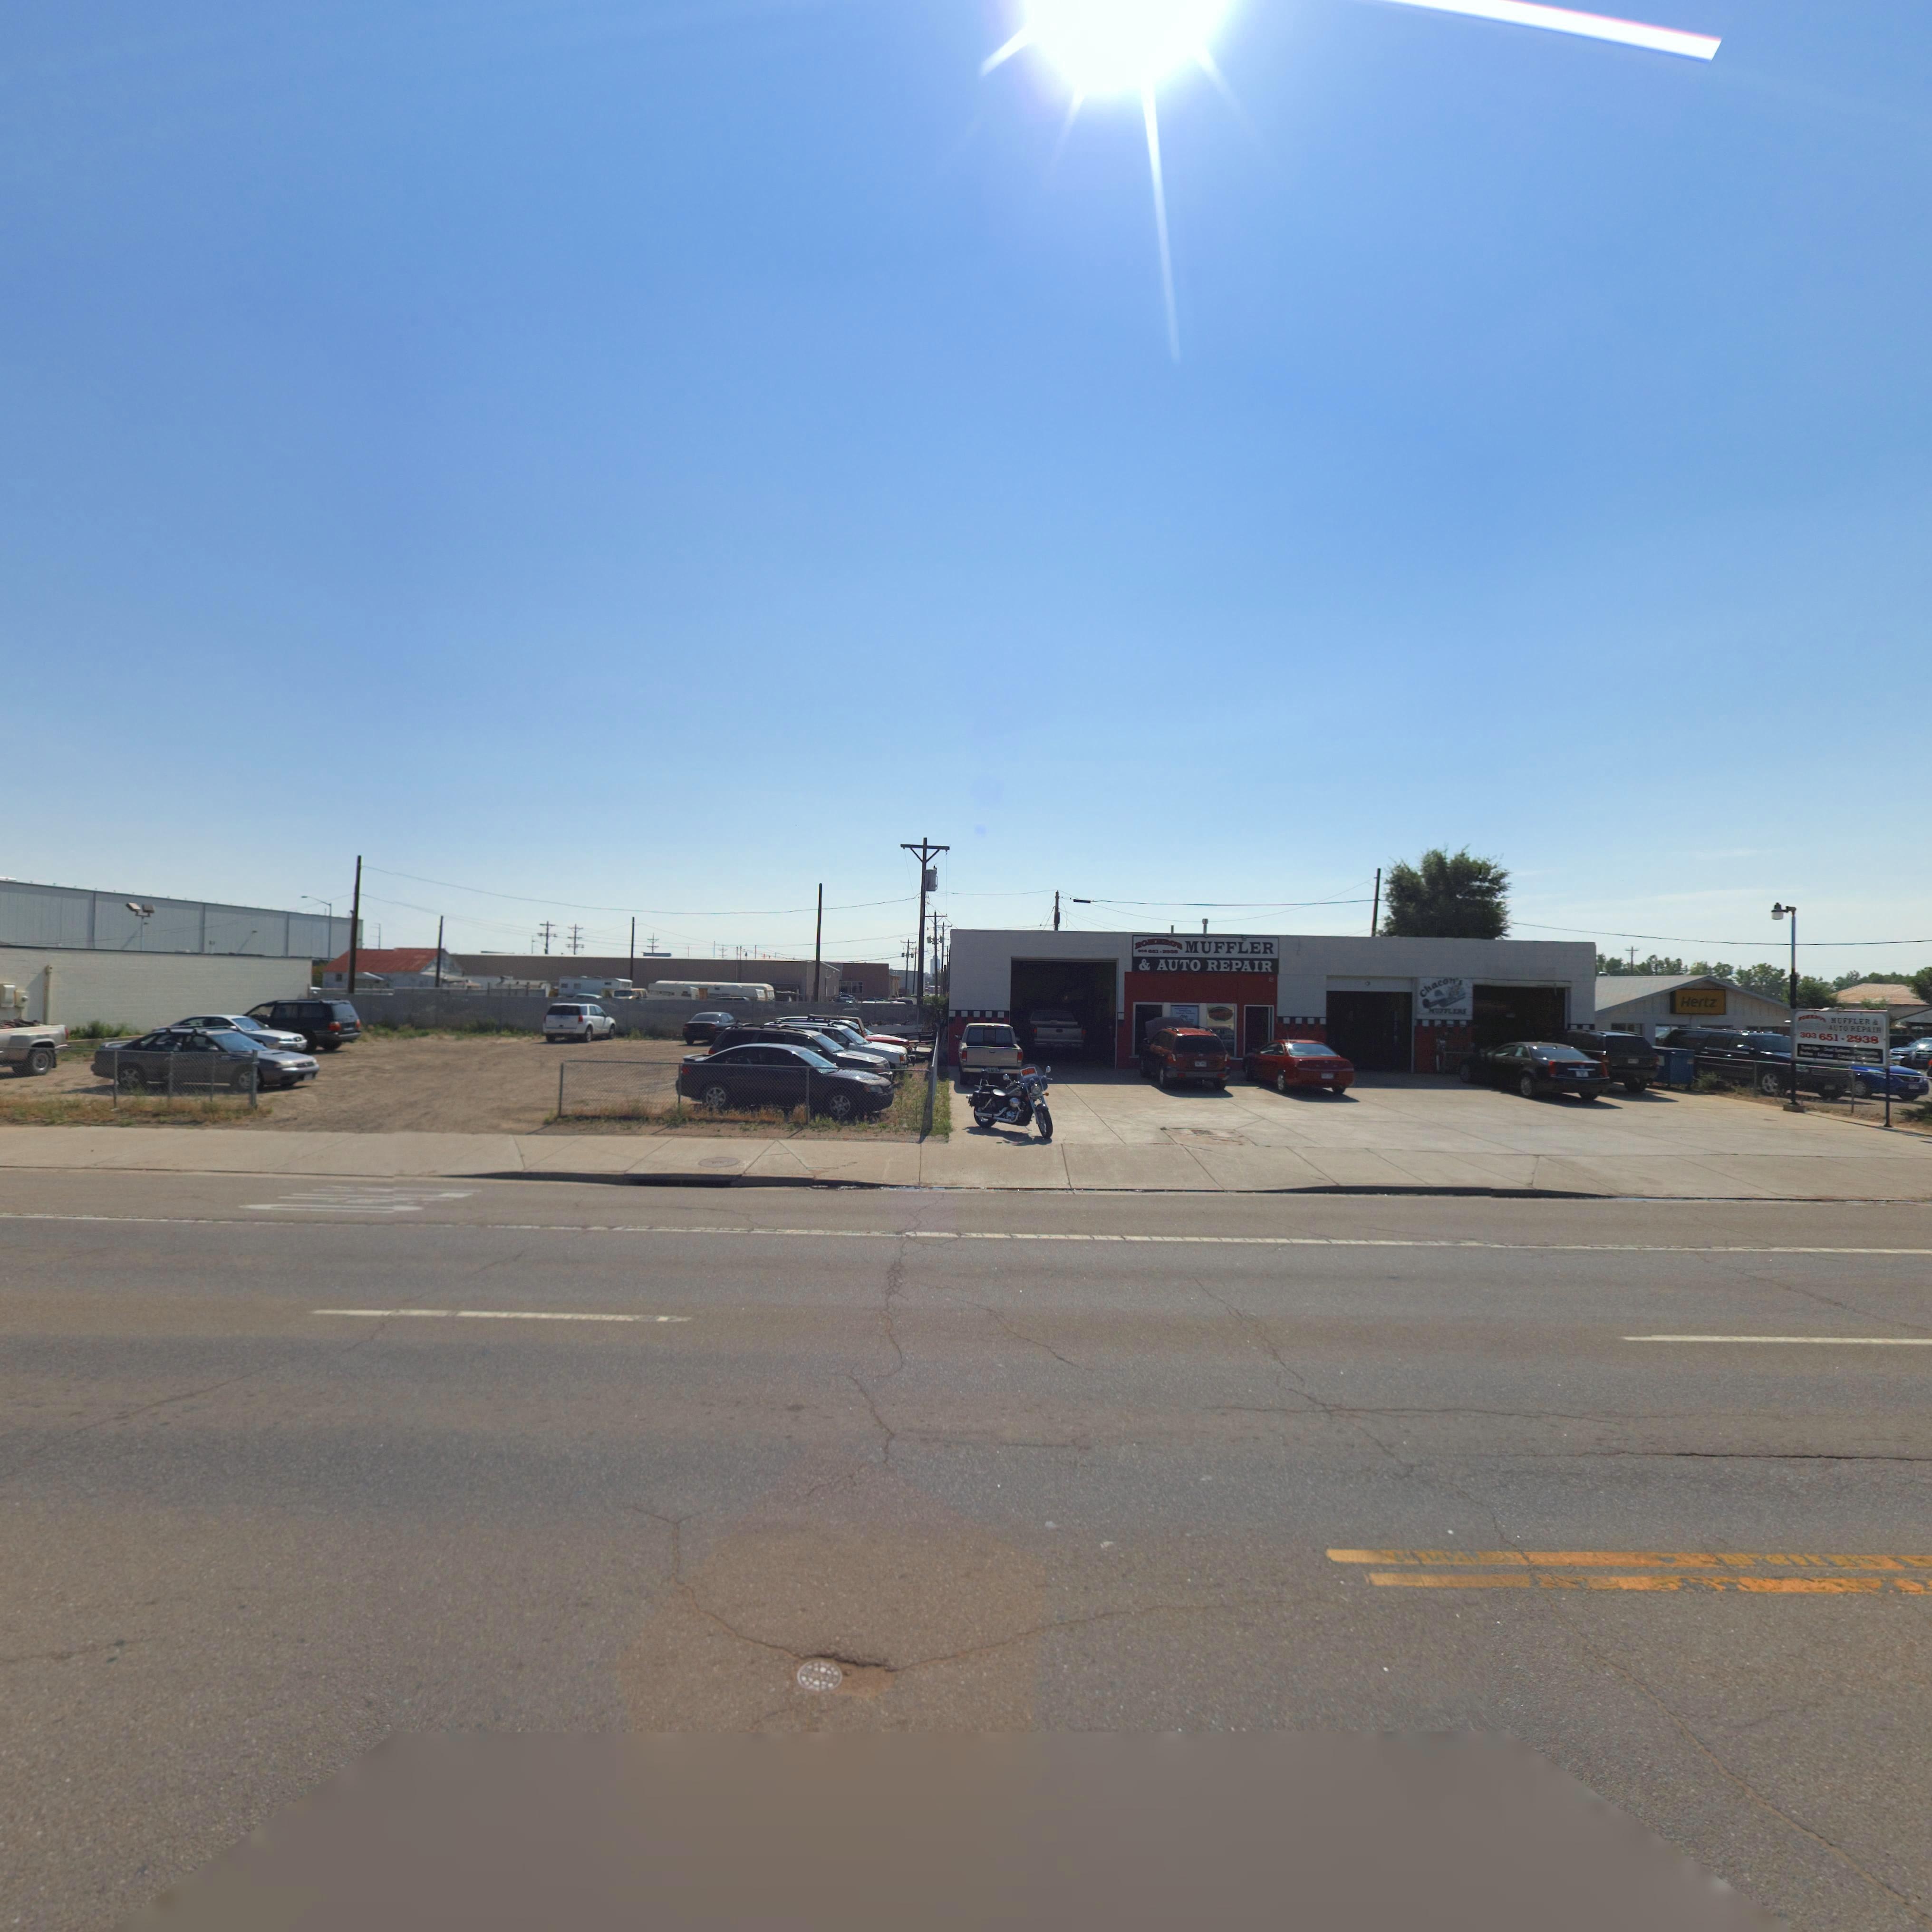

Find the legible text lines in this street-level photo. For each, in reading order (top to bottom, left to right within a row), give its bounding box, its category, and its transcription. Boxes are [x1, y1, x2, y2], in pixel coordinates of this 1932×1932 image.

[1135, 938, 1183, 950] BusinessName: *O****O*
[1185, 941, 1274, 954] BusinessName: MUFFLER
[1138, 958, 1273, 972] BusinessName: & AUTO REPAIR
[1420, 978, 1463, 997] BusinessName: Chacon**
[1680, 996, 1717, 1007] BusinessName: Hertz
[1428, 1007, 1467, 1014] BusinessName: *UFFL**S
[1831, 1017, 1878, 1025] BusinessName: MUFFLER *
[1828, 1024, 1881, 1033] BusinessName: AUTO REPAIR